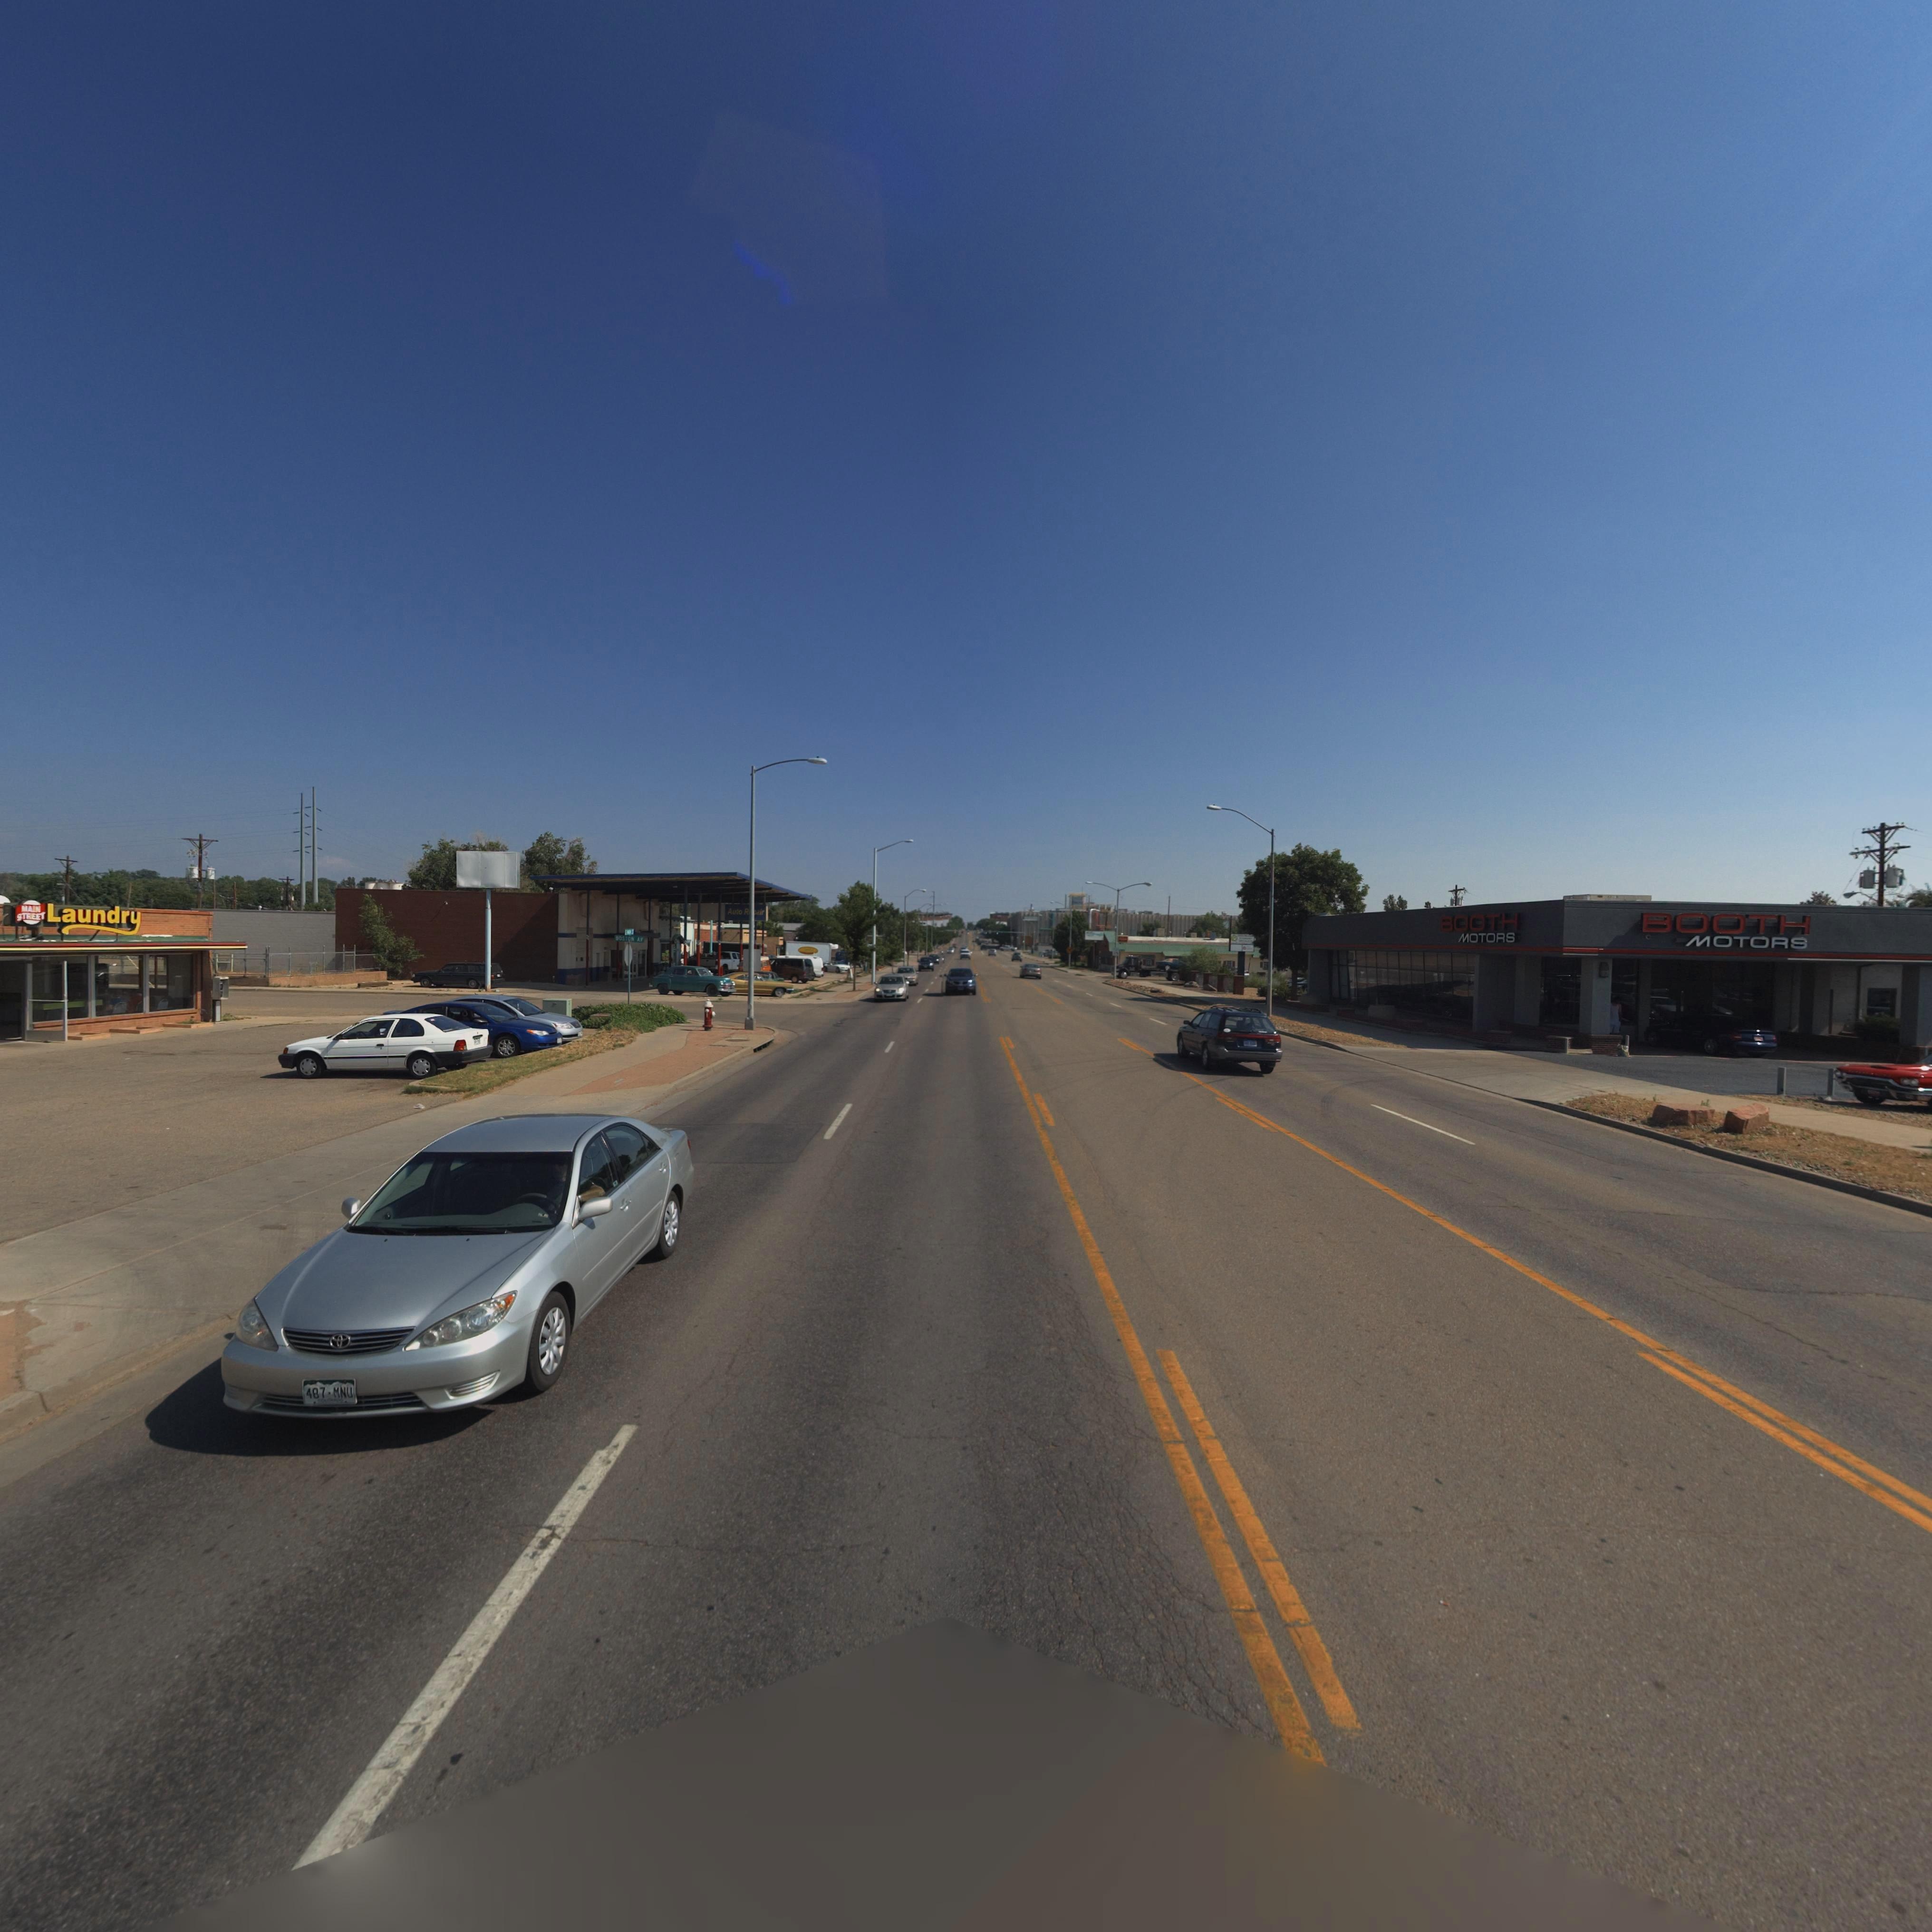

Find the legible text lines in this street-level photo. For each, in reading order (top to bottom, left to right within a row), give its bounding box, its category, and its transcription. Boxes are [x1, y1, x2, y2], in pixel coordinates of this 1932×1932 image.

[21, 905, 40, 912] BusinessName: *AIN
[16, 911, 46, 921] BusinessName: STREET
[46, 902, 142, 935] BusinessName: Laundry
[1440, 912, 1517, 932] BusinessName: BOOTH
[1641, 912, 1811, 935] BusinessName: BOOTH
[615, 936, 643, 941] StreetName: BOS*ON A*
[1457, 932, 1515, 943] BusinessName: MOTORS
[1685, 935, 1807, 949] BusinessName: MOTORS